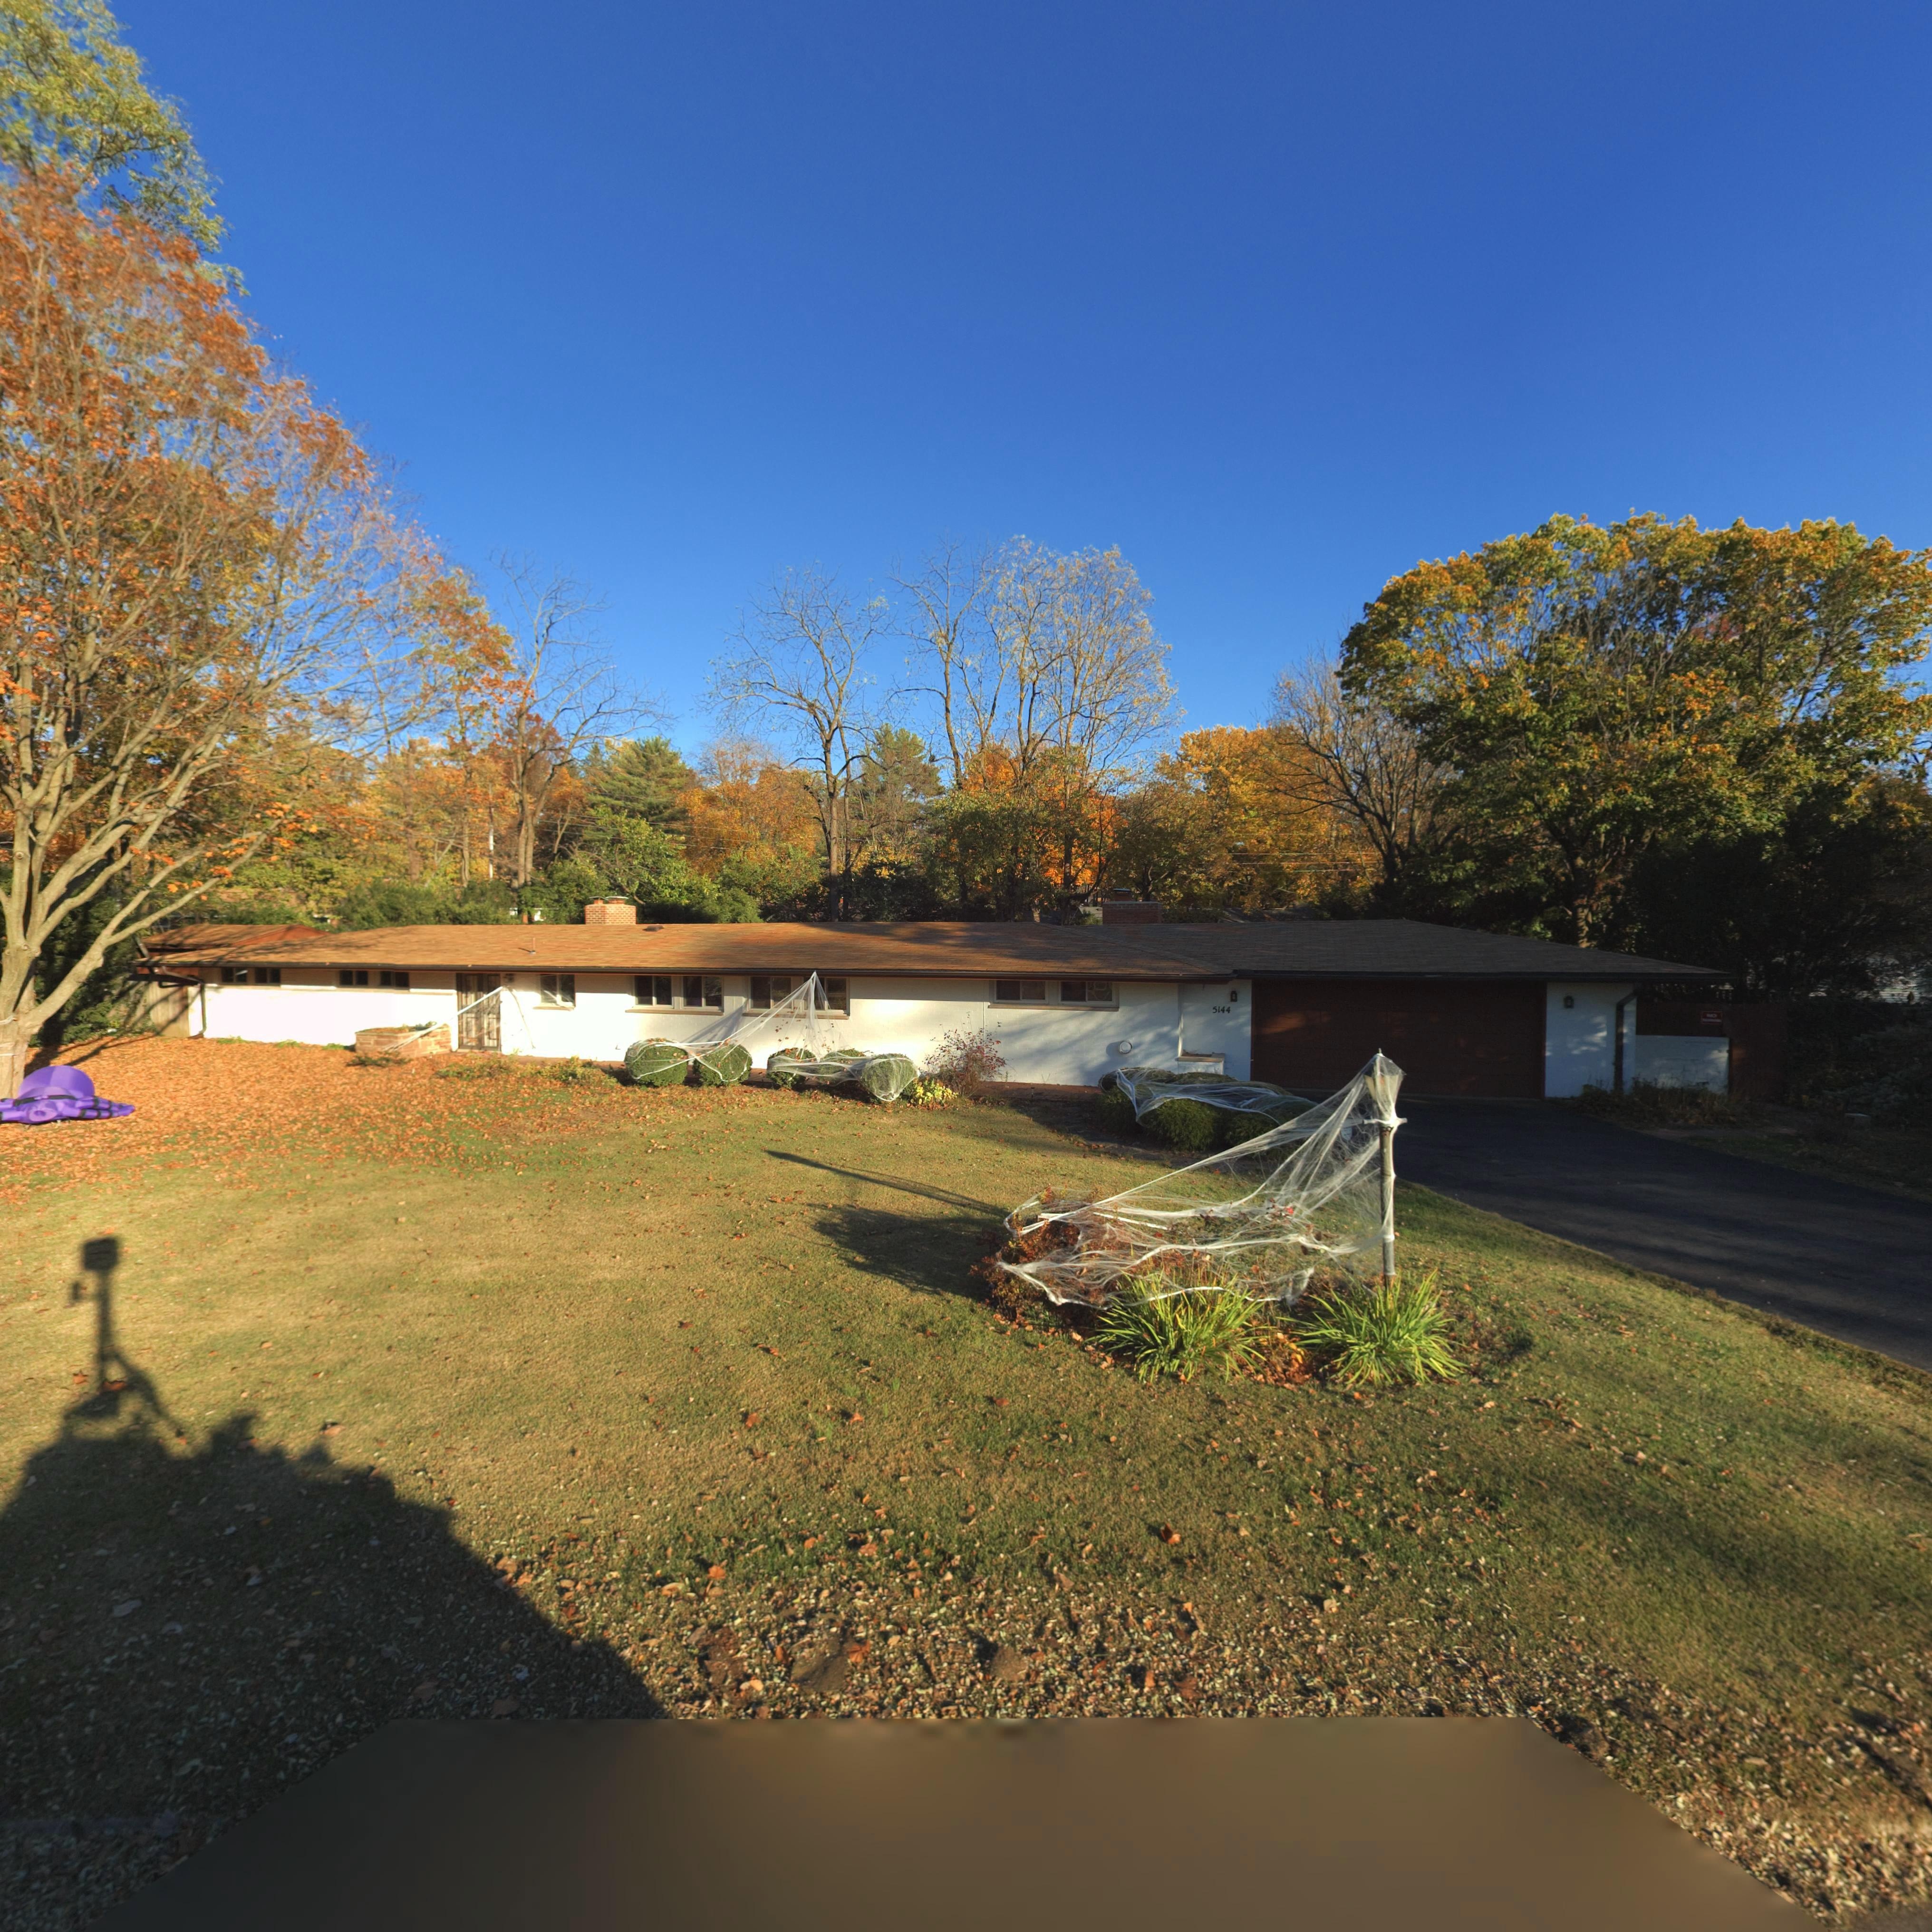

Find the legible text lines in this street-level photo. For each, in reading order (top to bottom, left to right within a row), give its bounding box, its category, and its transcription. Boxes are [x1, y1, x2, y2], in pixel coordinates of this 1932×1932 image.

[1212, 1005, 1231, 1014] StreetNumber: 5144